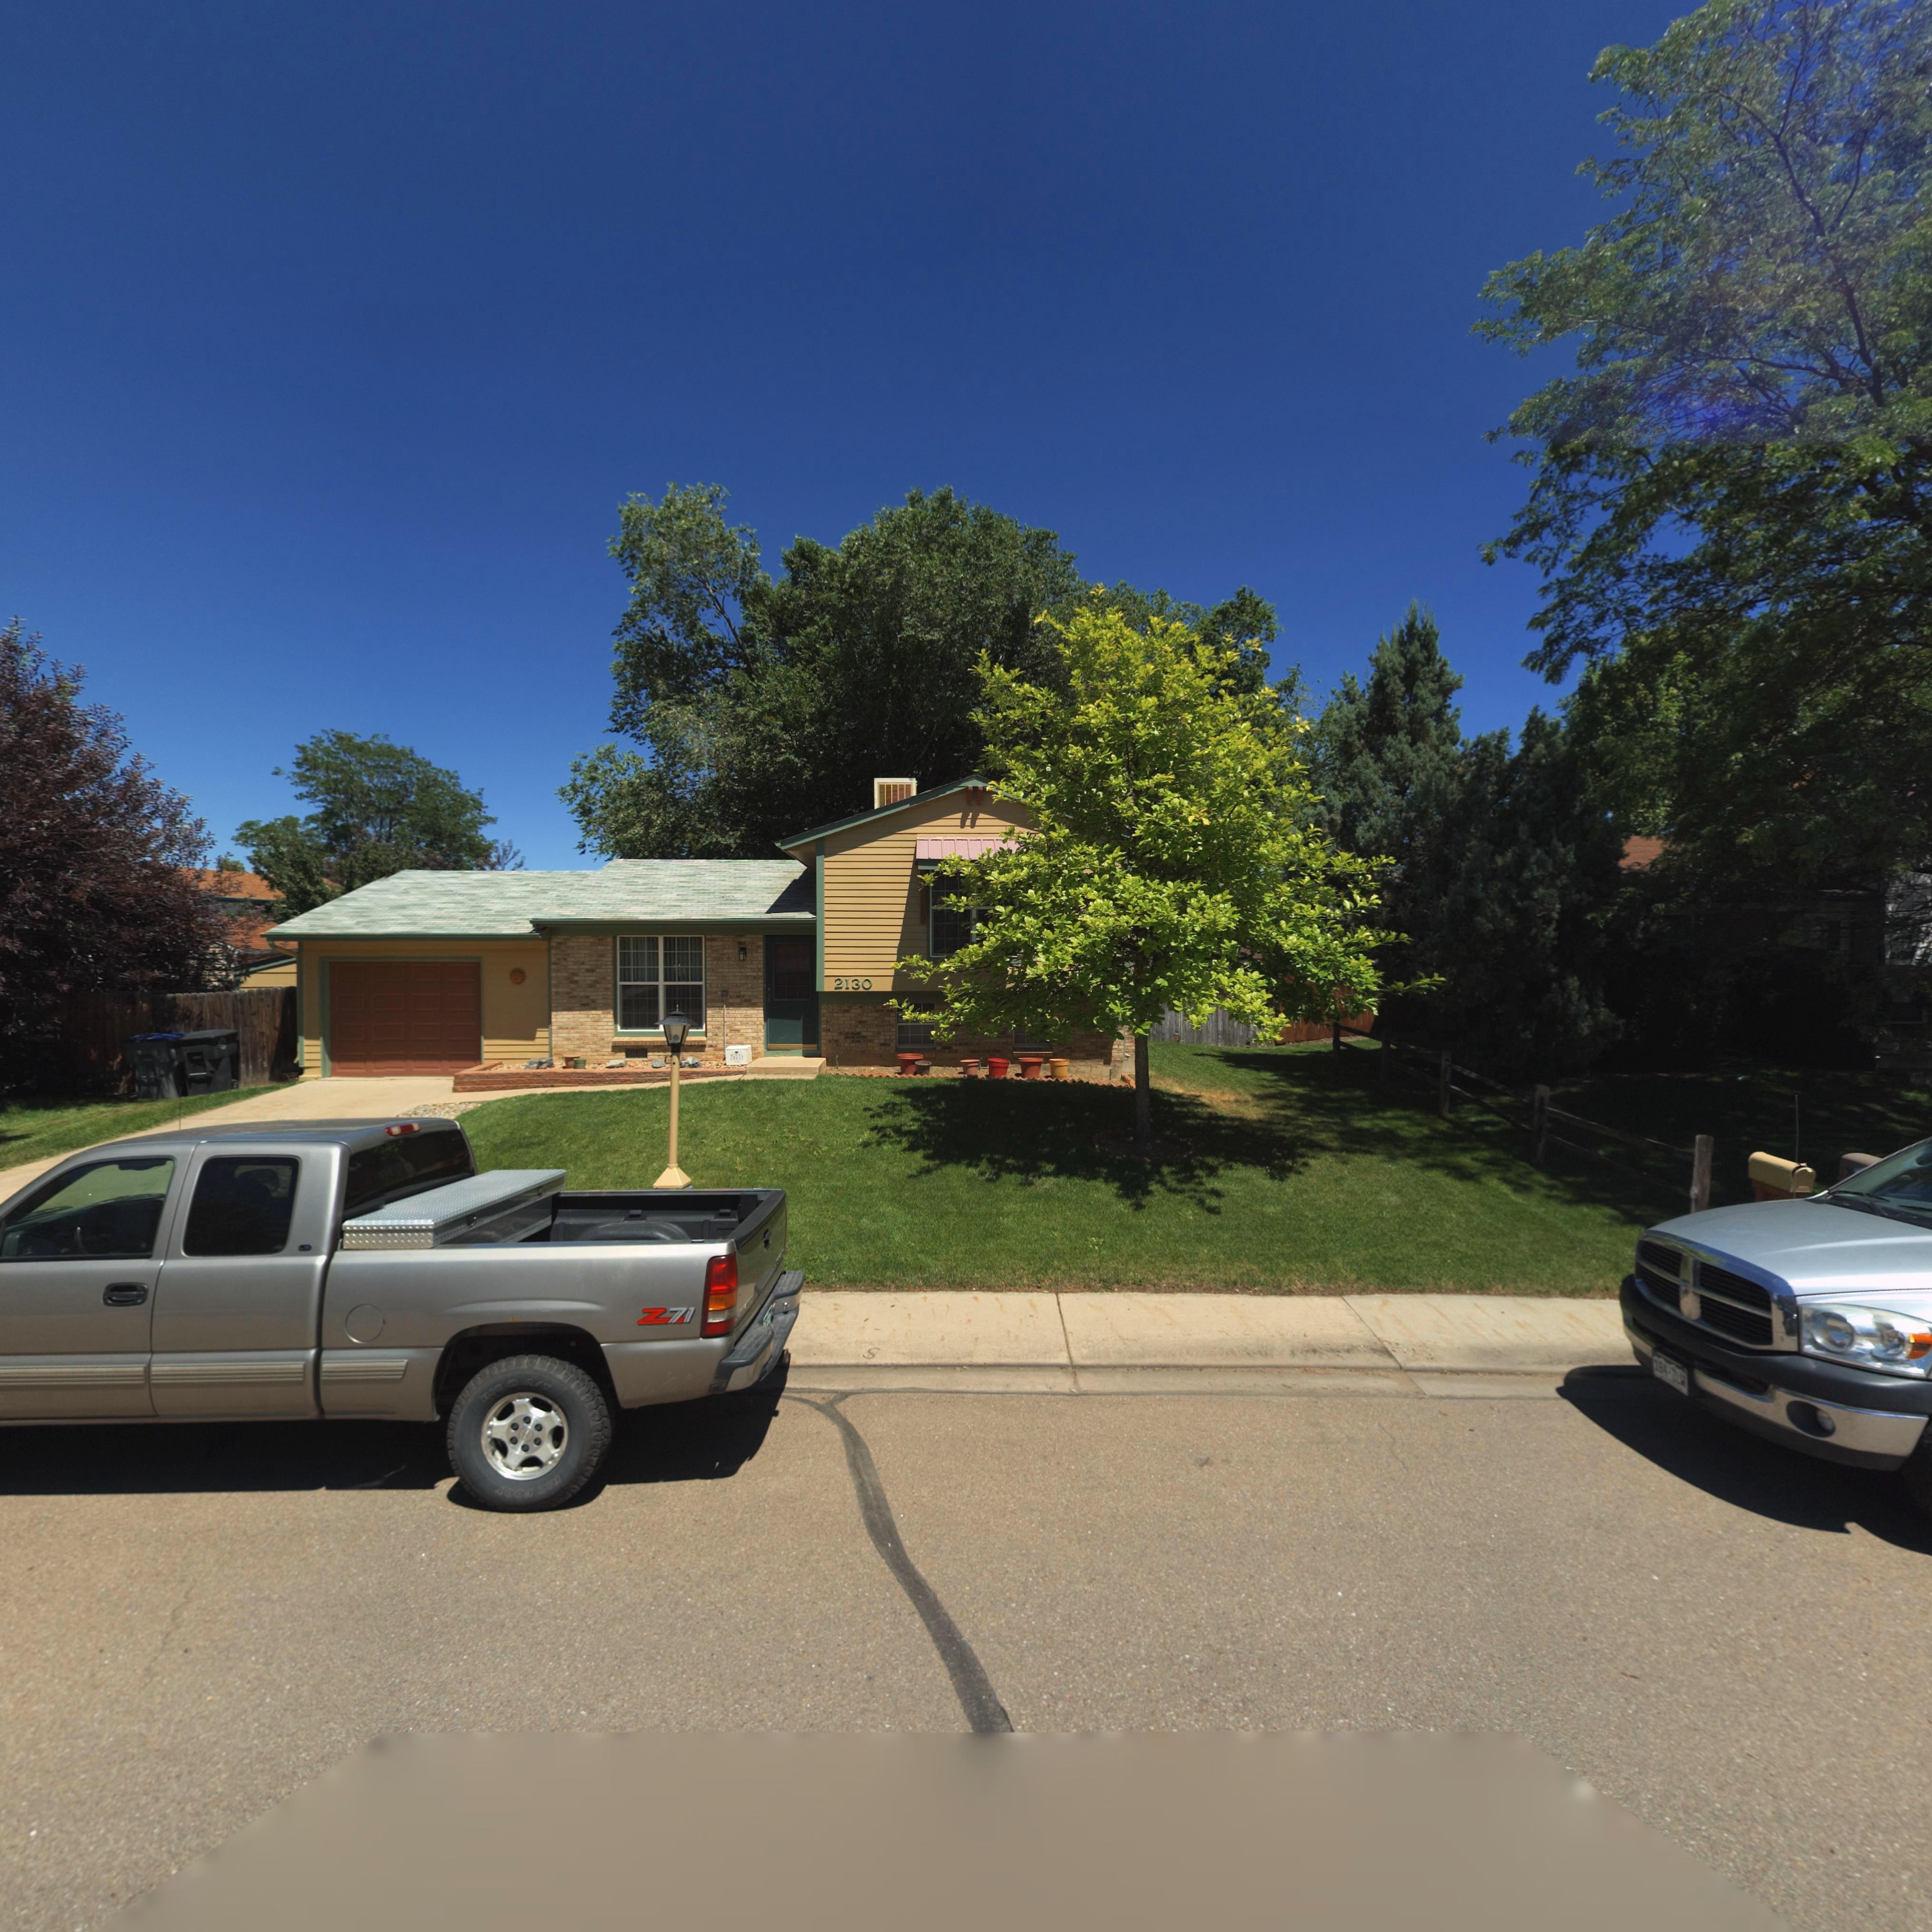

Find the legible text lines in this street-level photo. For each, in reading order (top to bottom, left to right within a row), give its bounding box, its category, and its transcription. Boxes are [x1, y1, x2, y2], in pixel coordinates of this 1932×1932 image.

[834, 977, 872, 989] StreetNumber: 2130